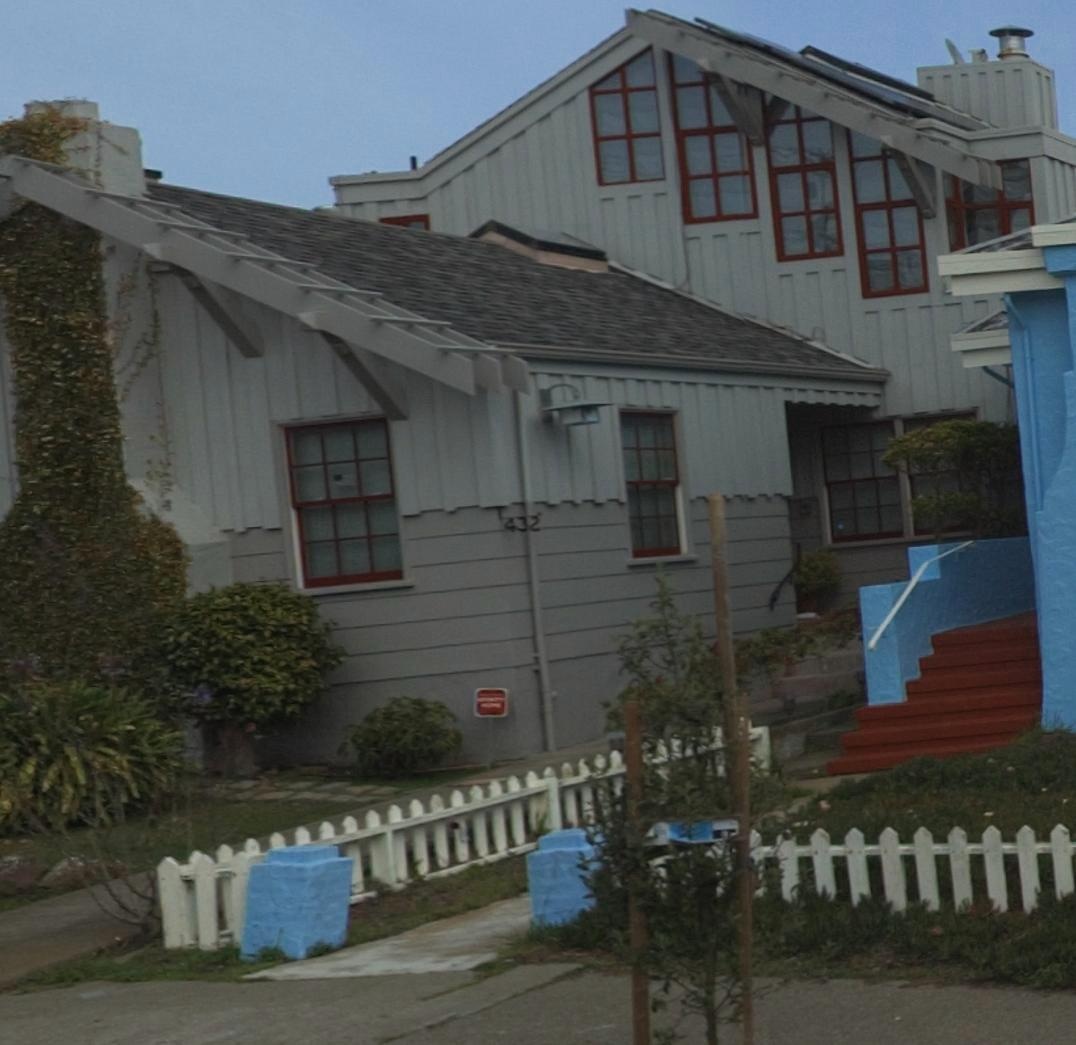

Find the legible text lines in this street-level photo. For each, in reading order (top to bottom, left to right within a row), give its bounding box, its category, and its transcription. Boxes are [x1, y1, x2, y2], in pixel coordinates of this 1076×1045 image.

[503, 514, 542, 534] StreetNumber: 432